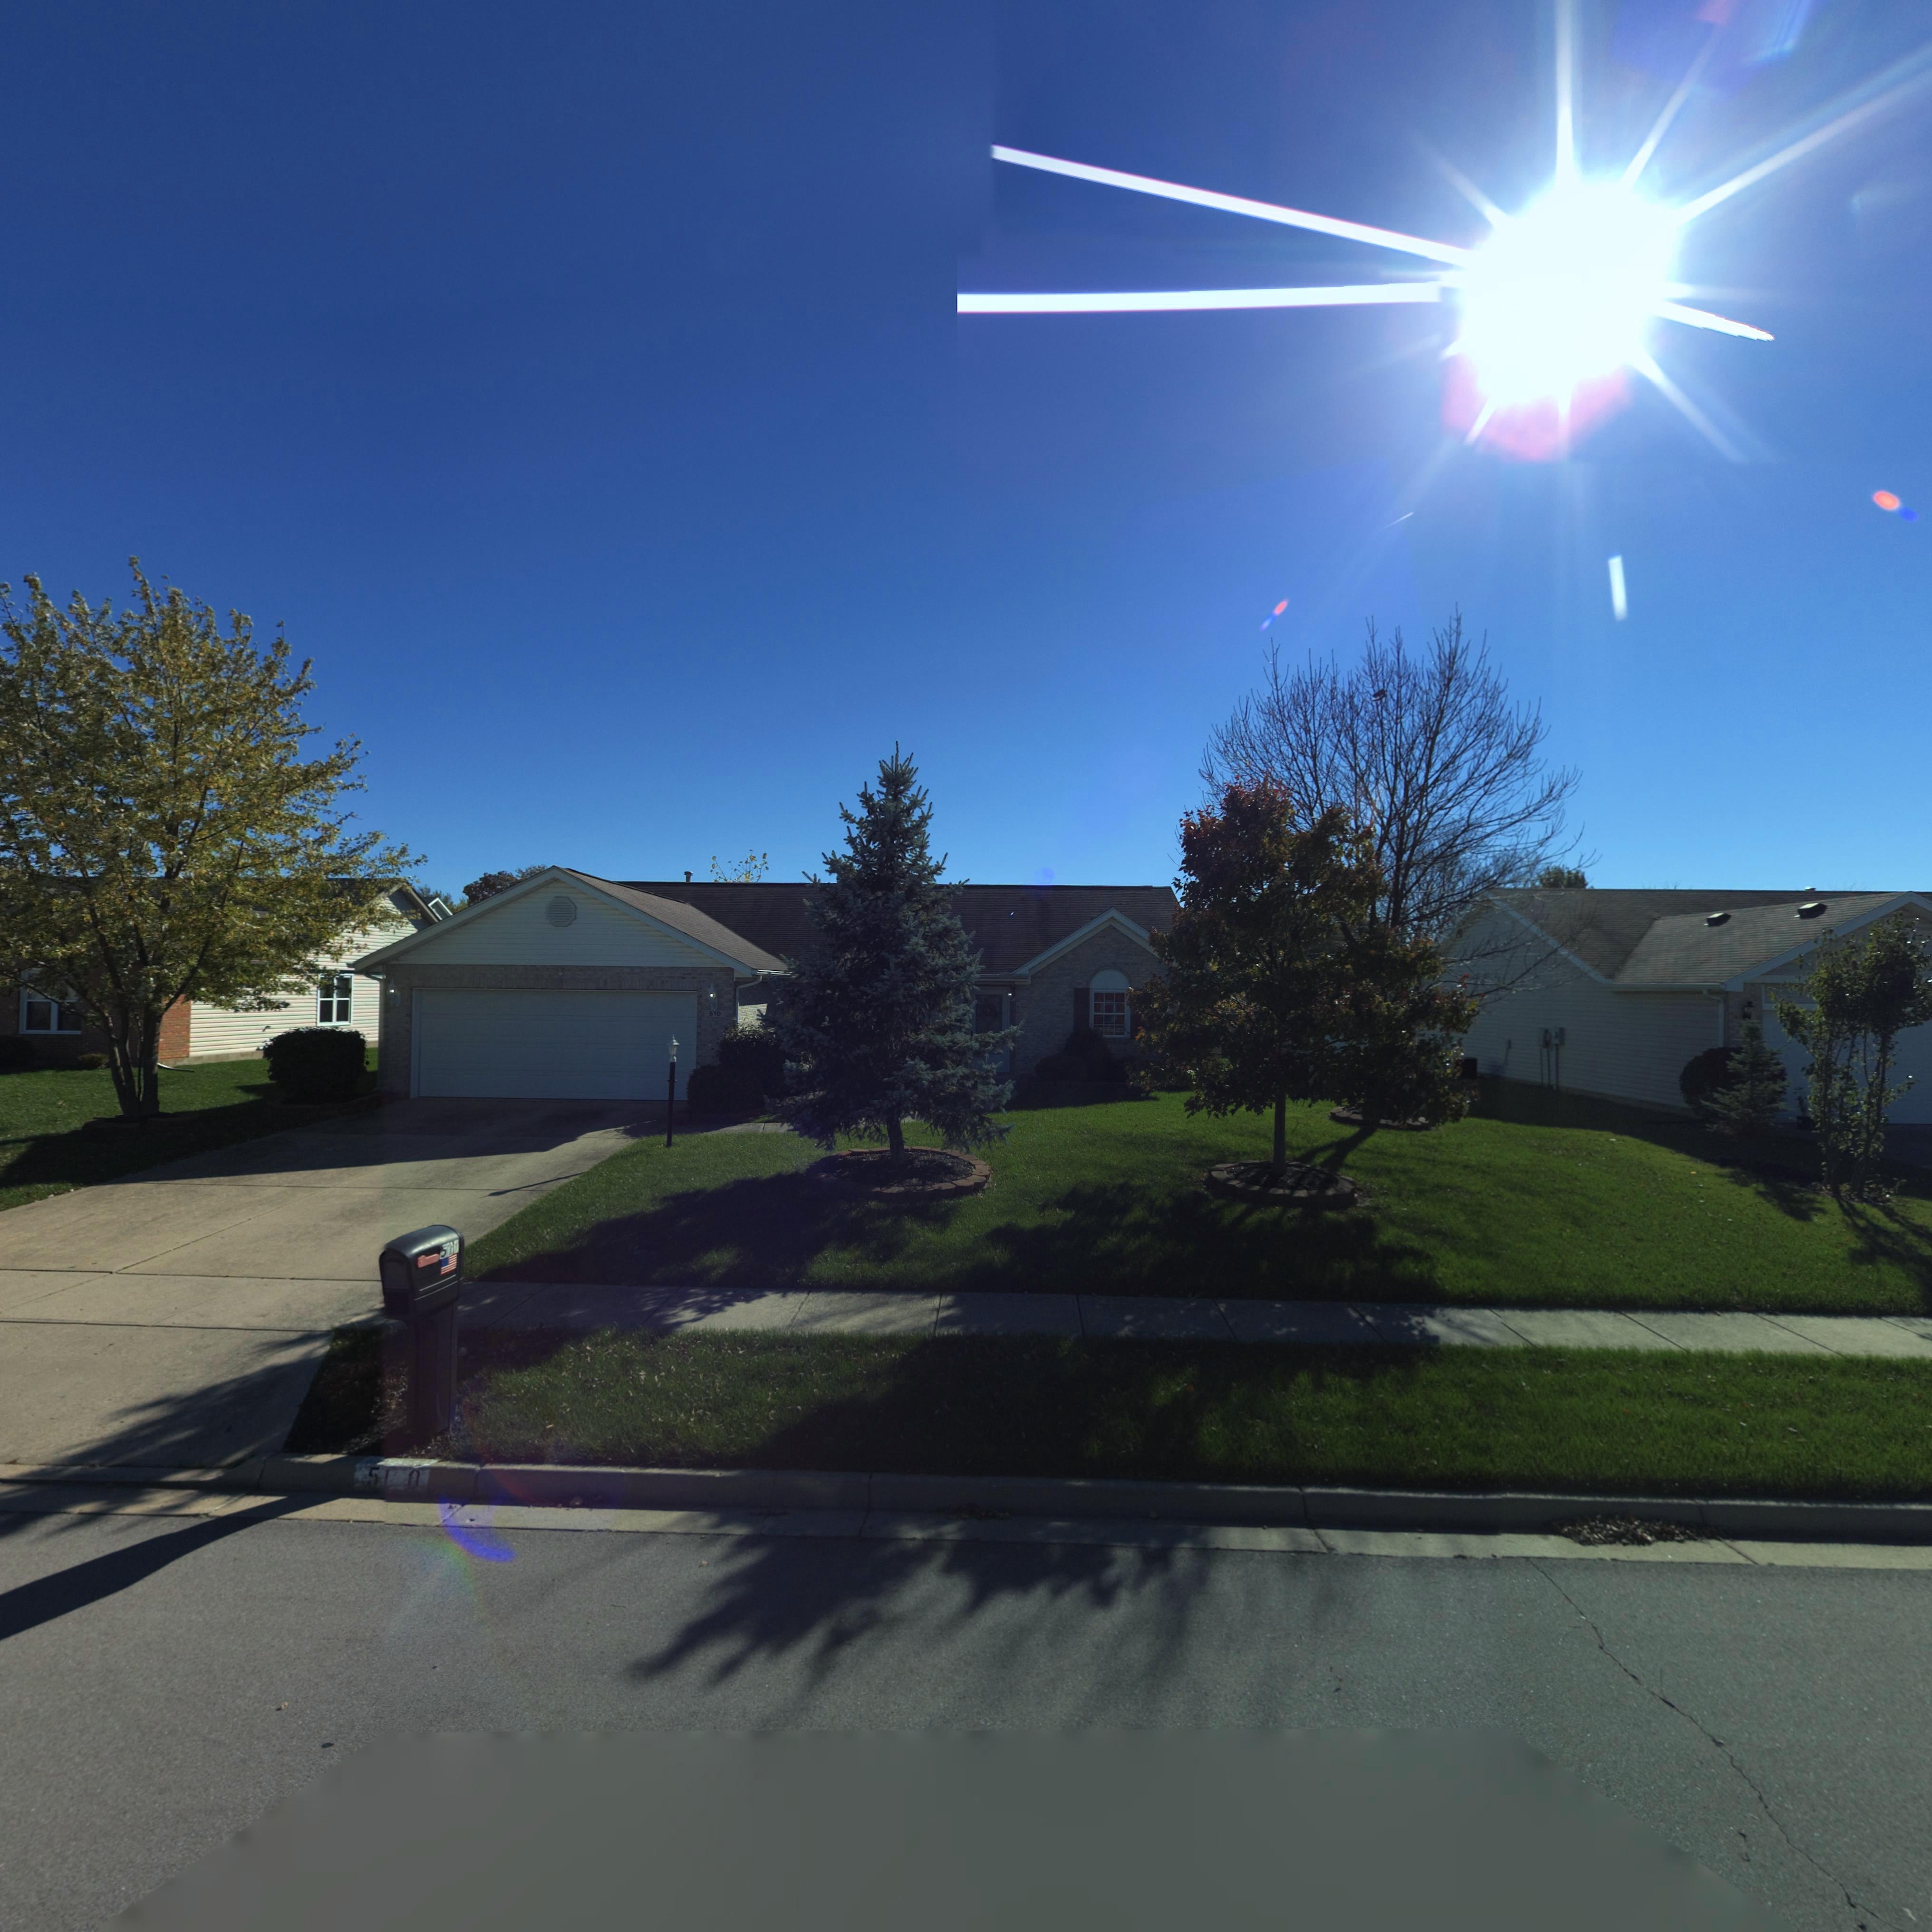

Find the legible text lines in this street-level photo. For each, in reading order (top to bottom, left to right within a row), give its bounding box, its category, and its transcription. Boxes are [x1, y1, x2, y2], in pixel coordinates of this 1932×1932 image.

[708, 1010, 722, 1017] StreetNumber: 510
[440, 1238, 459, 1260] StreetNumber: 5**
[364, 1464, 424, 1492] StreetNumber: 51*0